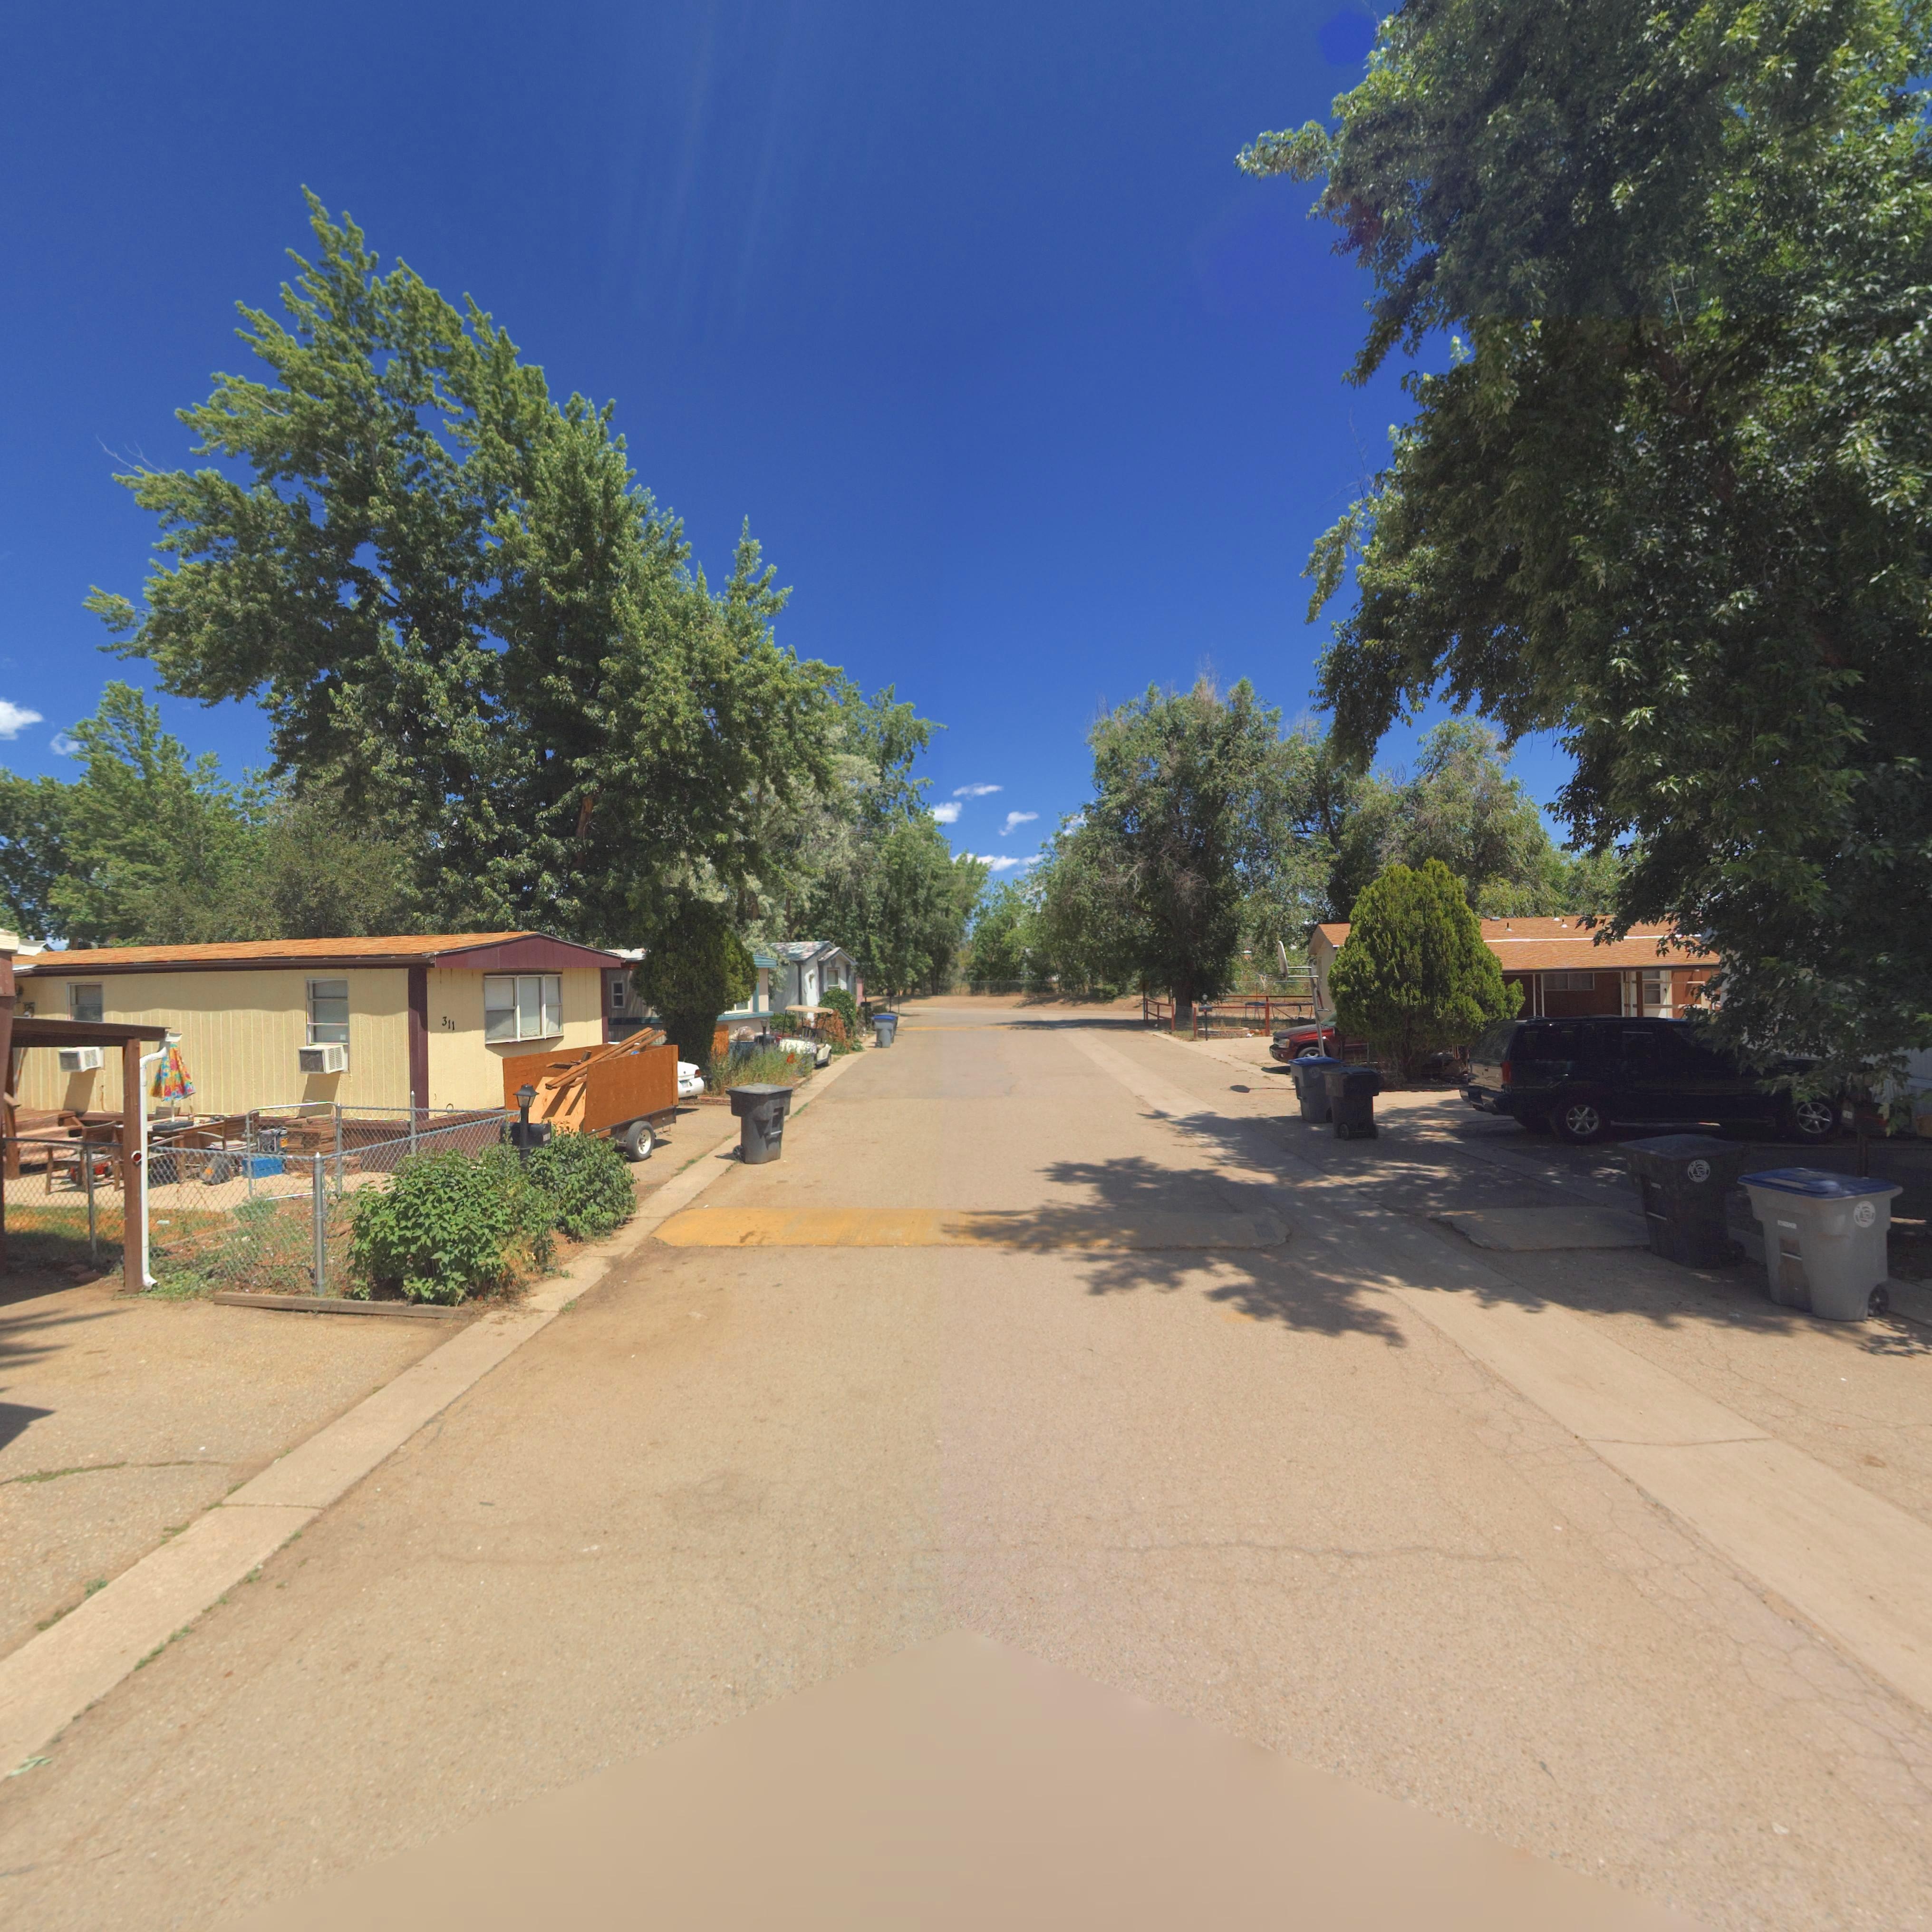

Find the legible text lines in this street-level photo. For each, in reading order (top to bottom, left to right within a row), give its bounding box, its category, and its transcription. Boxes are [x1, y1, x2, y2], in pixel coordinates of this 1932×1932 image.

[442, 1015, 455, 1031] StreetNumber: 311
[543, 1133, 550, 1140] StreetNumber: 311